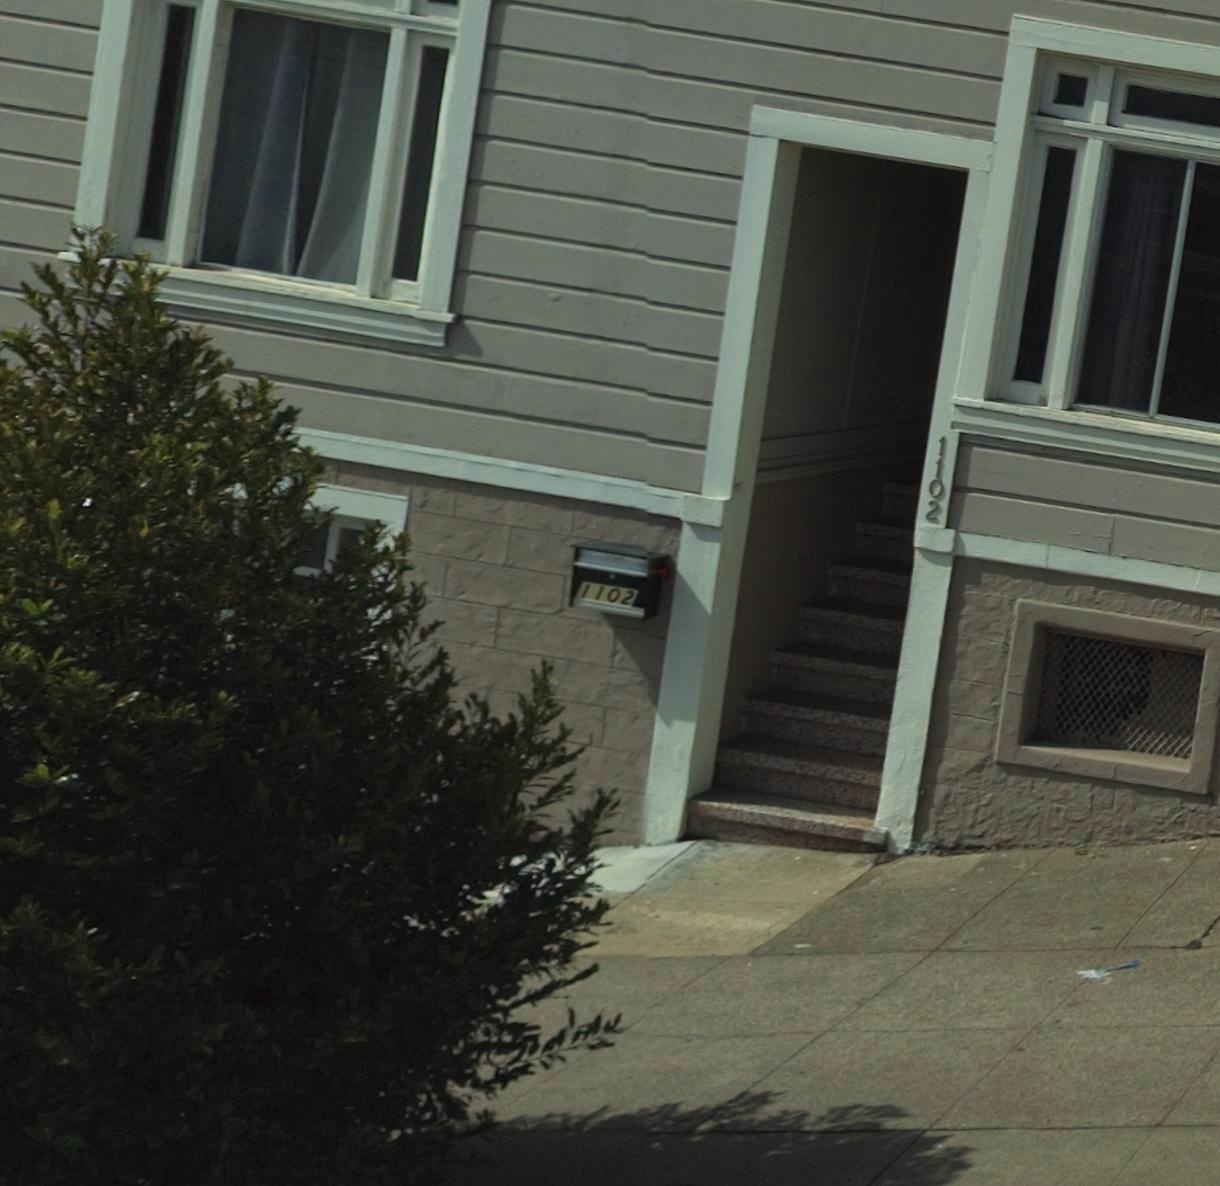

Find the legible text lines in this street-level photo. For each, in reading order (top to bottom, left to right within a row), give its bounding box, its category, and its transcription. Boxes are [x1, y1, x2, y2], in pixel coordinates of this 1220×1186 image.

[920, 432, 955, 527] StreetNumber: 1102
[571, 580, 641, 608] StreetNumber: 1102